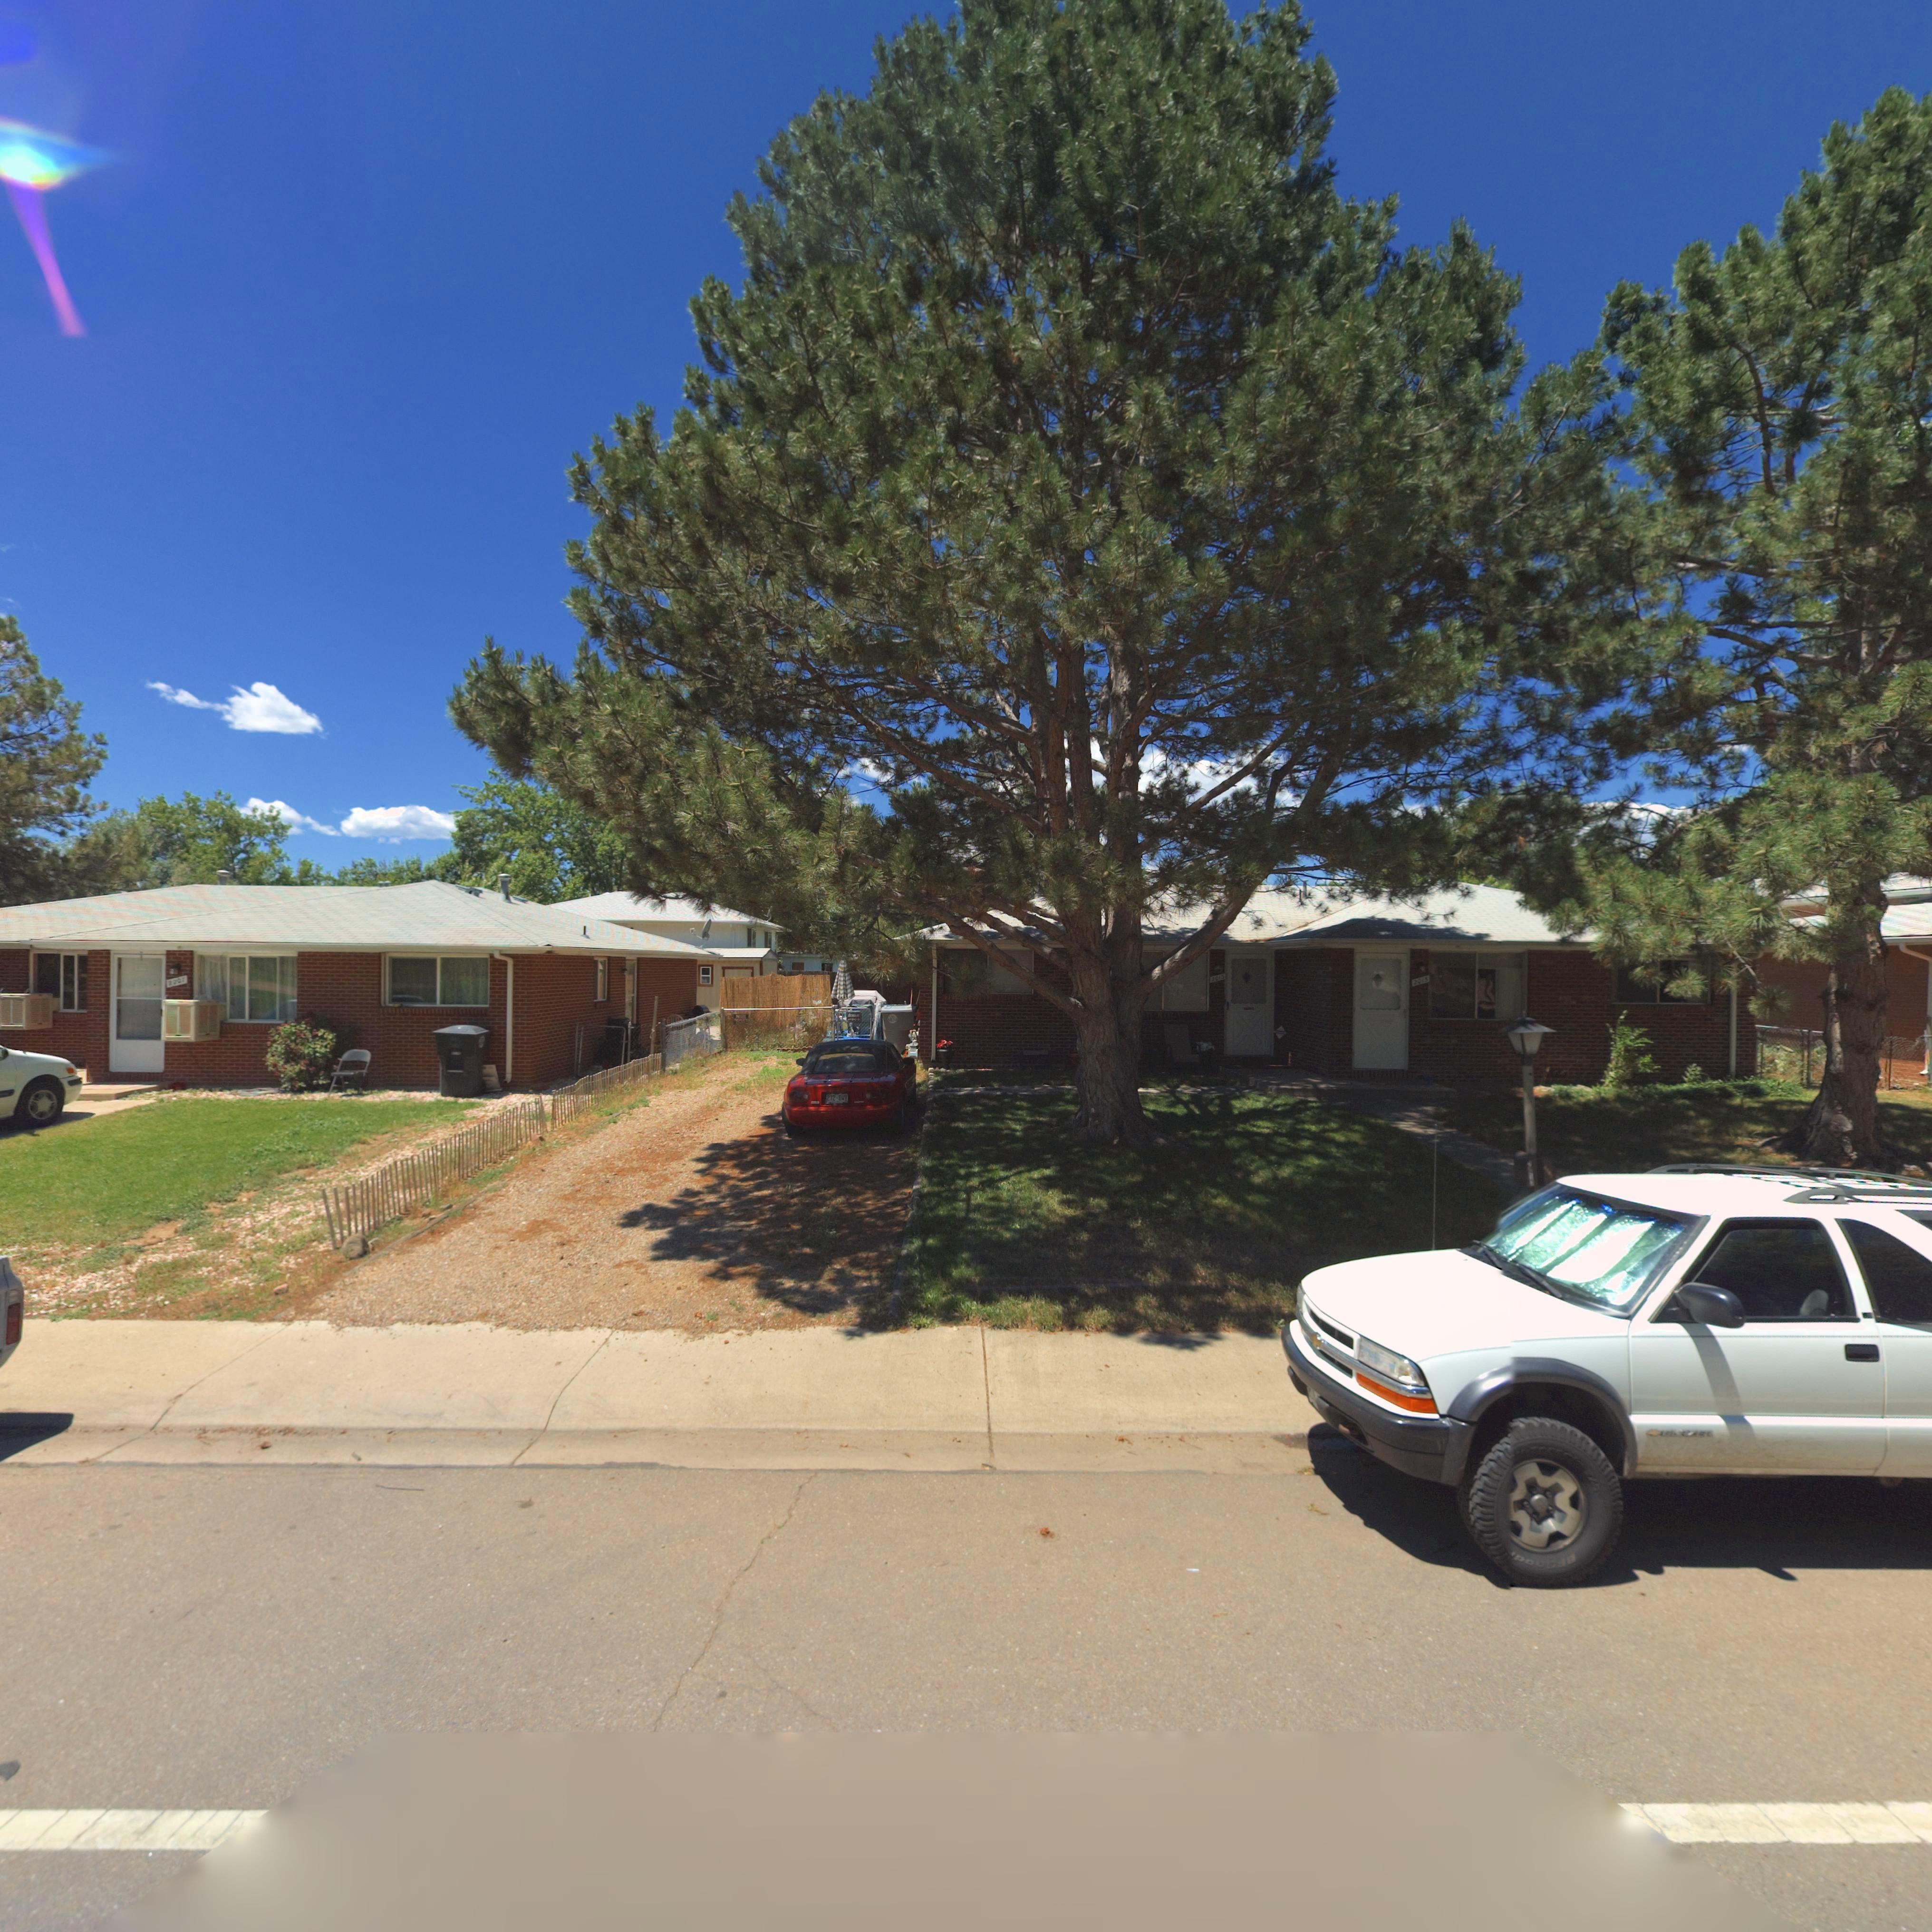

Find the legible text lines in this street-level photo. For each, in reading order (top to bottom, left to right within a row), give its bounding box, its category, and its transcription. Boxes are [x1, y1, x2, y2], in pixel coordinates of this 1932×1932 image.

[167, 976, 185, 987] StreetNumber: 2*07
[1210, 974, 1225, 982] StreetNumber: 2013
[1412, 975, 1429, 986] StreetNumber: 2015